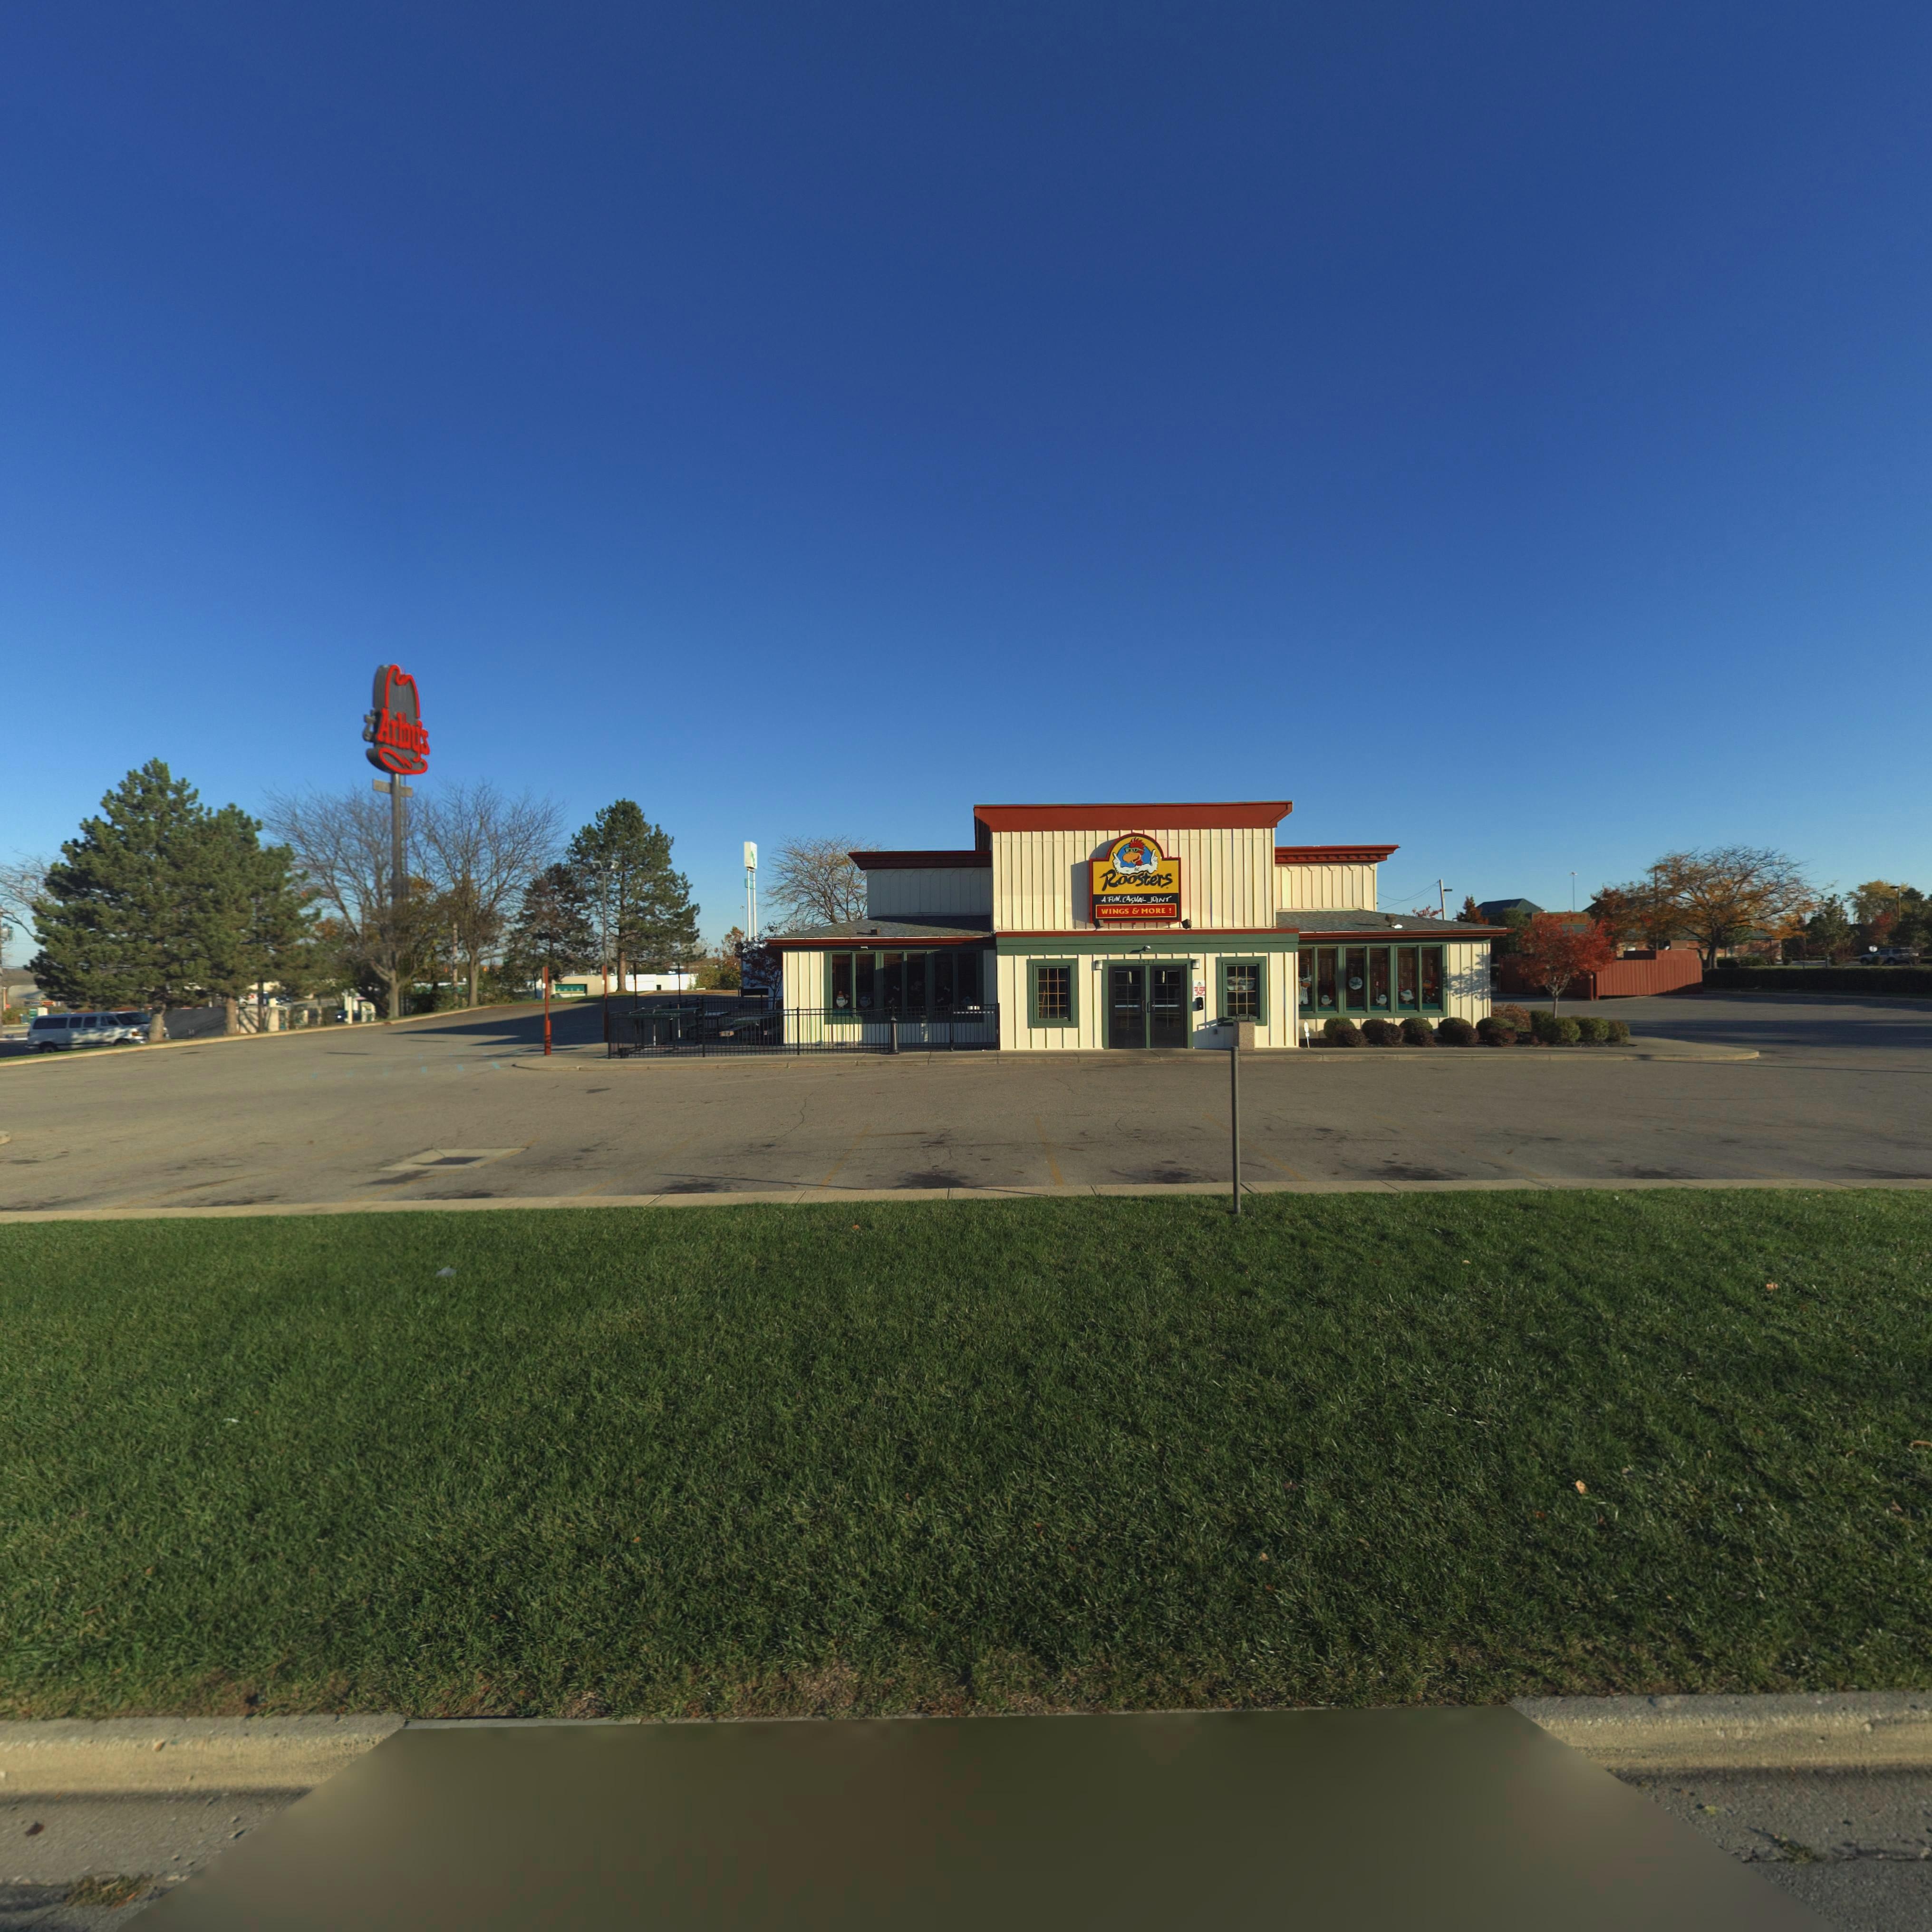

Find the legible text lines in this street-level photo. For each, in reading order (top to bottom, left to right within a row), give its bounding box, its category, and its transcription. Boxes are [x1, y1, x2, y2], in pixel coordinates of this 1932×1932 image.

[375, 706, 431, 764] BusinessName: Ar*y's
[1098, 868, 1174, 892] BusinessName: Roosters
[1137, 959, 1155, 965] StreetNumber: 5571